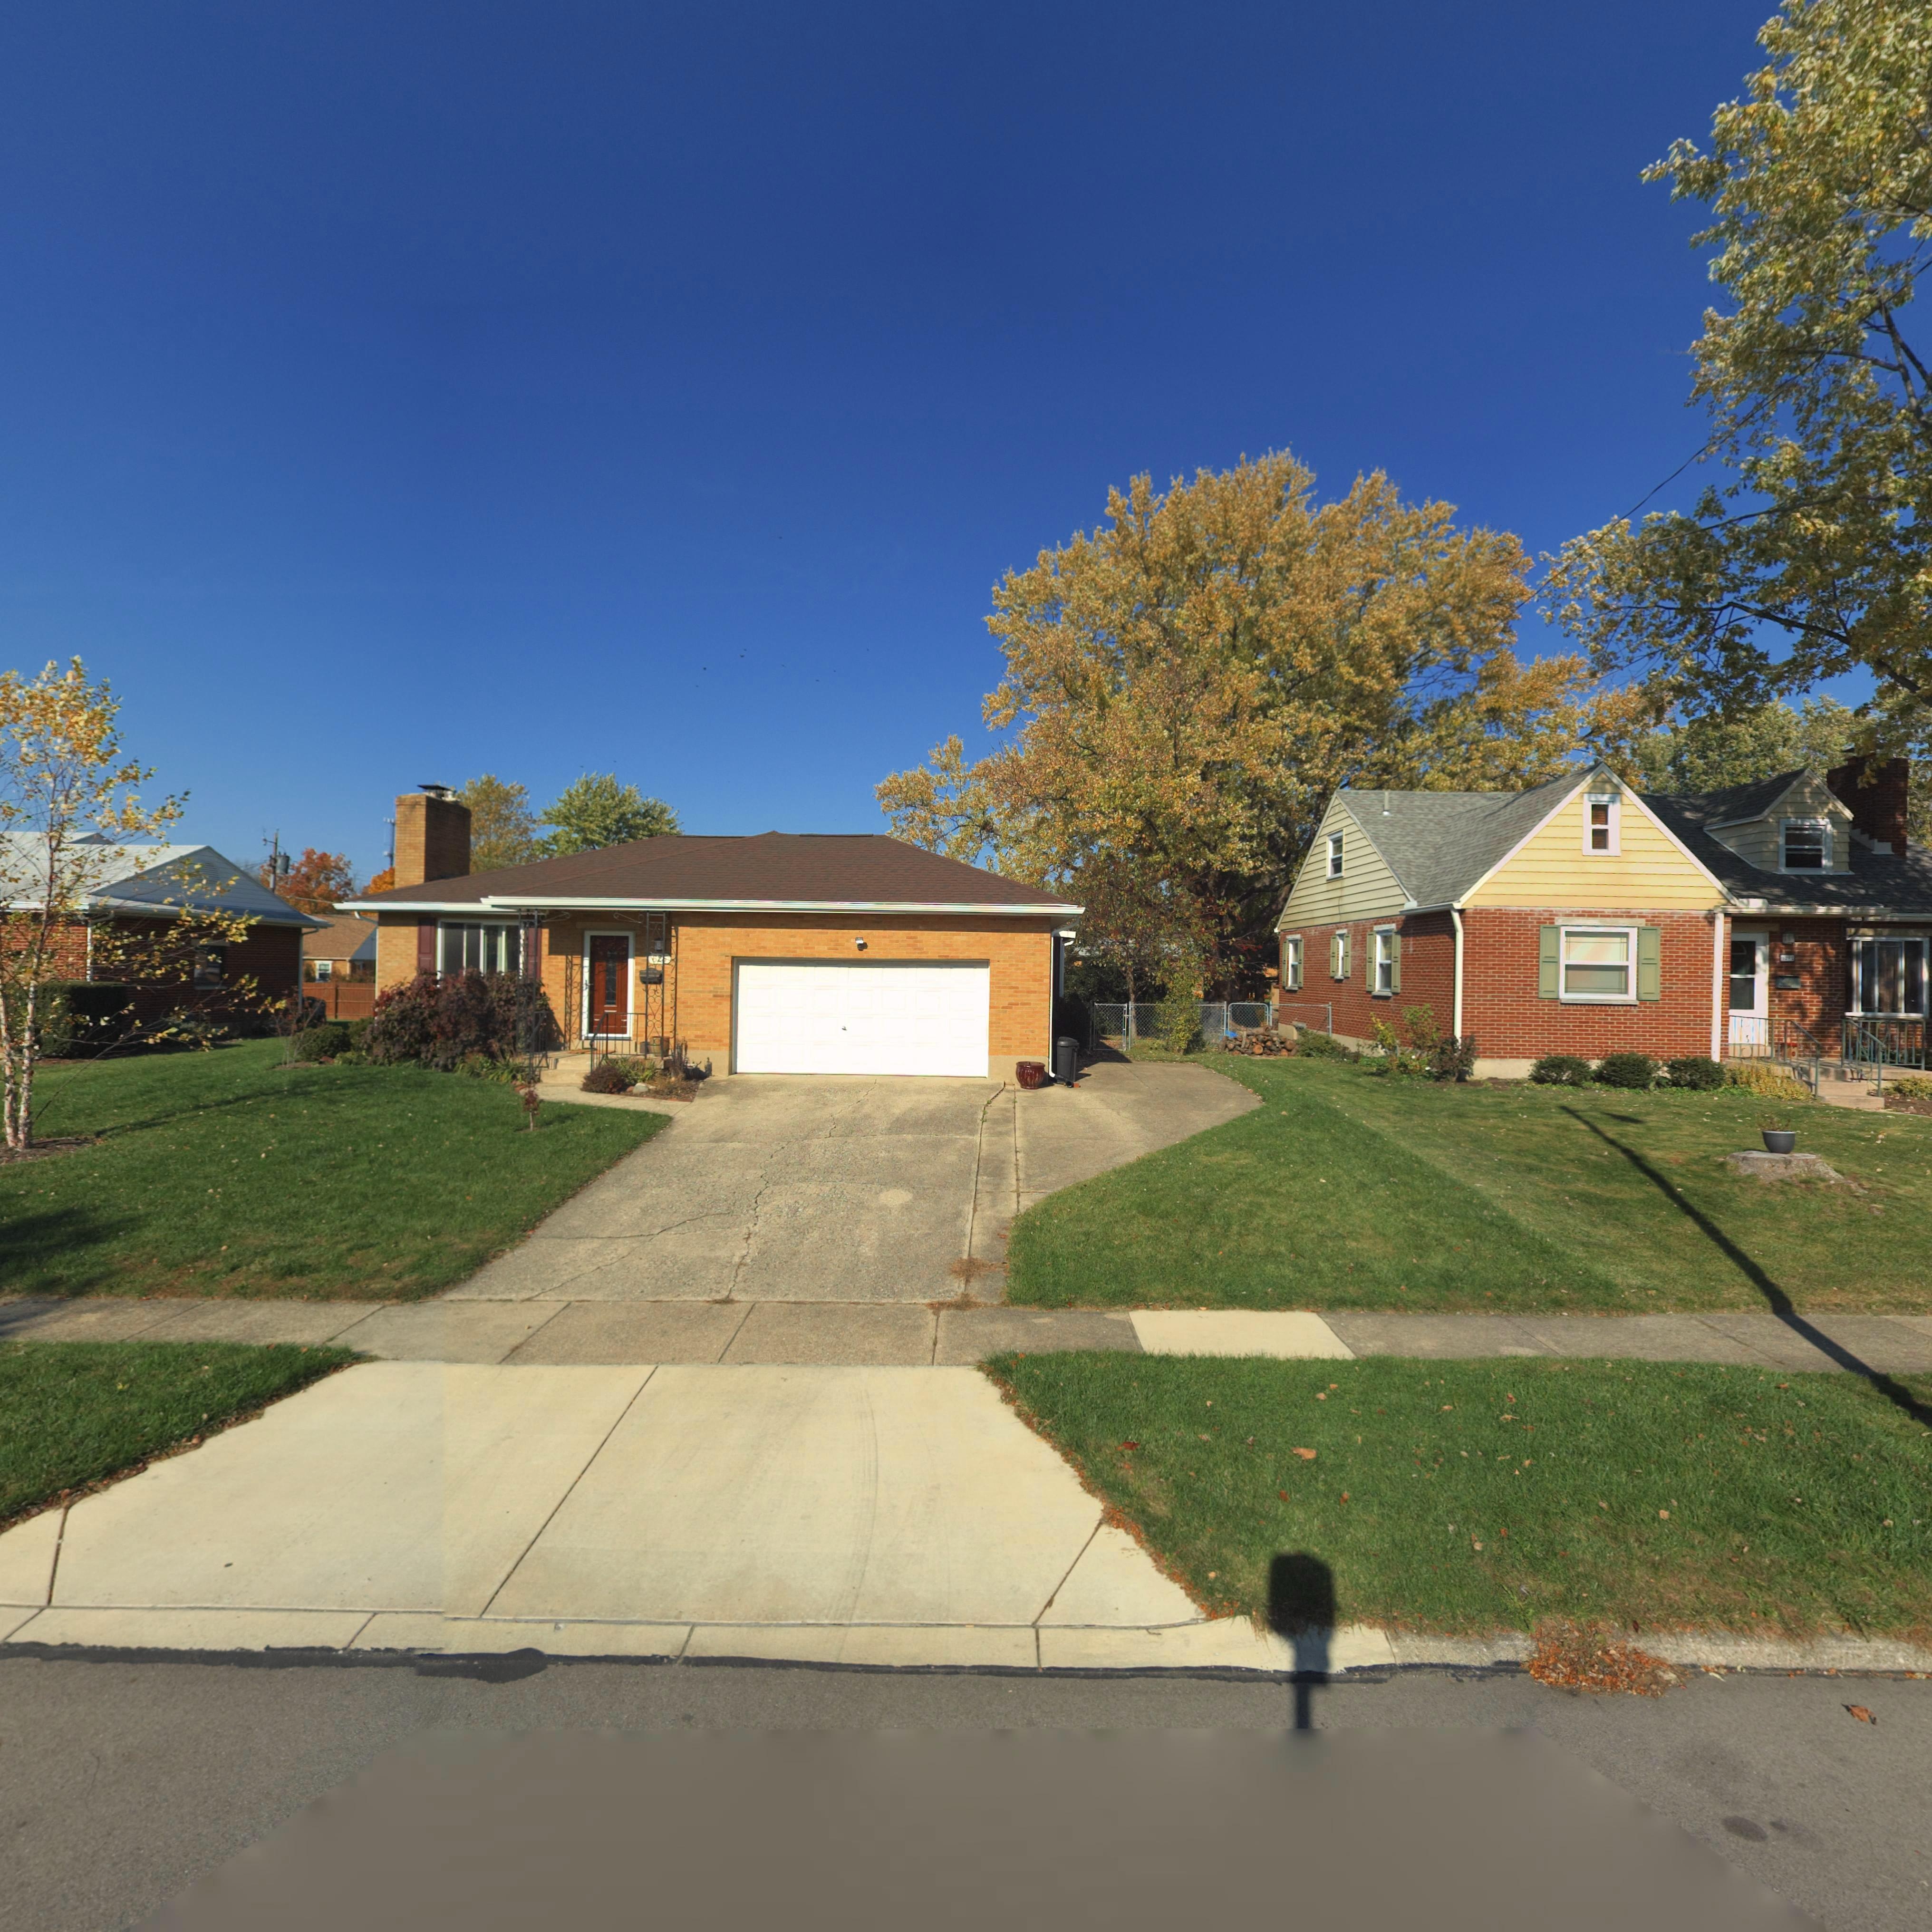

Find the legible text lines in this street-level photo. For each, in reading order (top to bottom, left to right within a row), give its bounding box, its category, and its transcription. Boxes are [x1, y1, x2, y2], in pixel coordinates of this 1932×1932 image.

[651, 954, 668, 963] StreetNumber: 62*